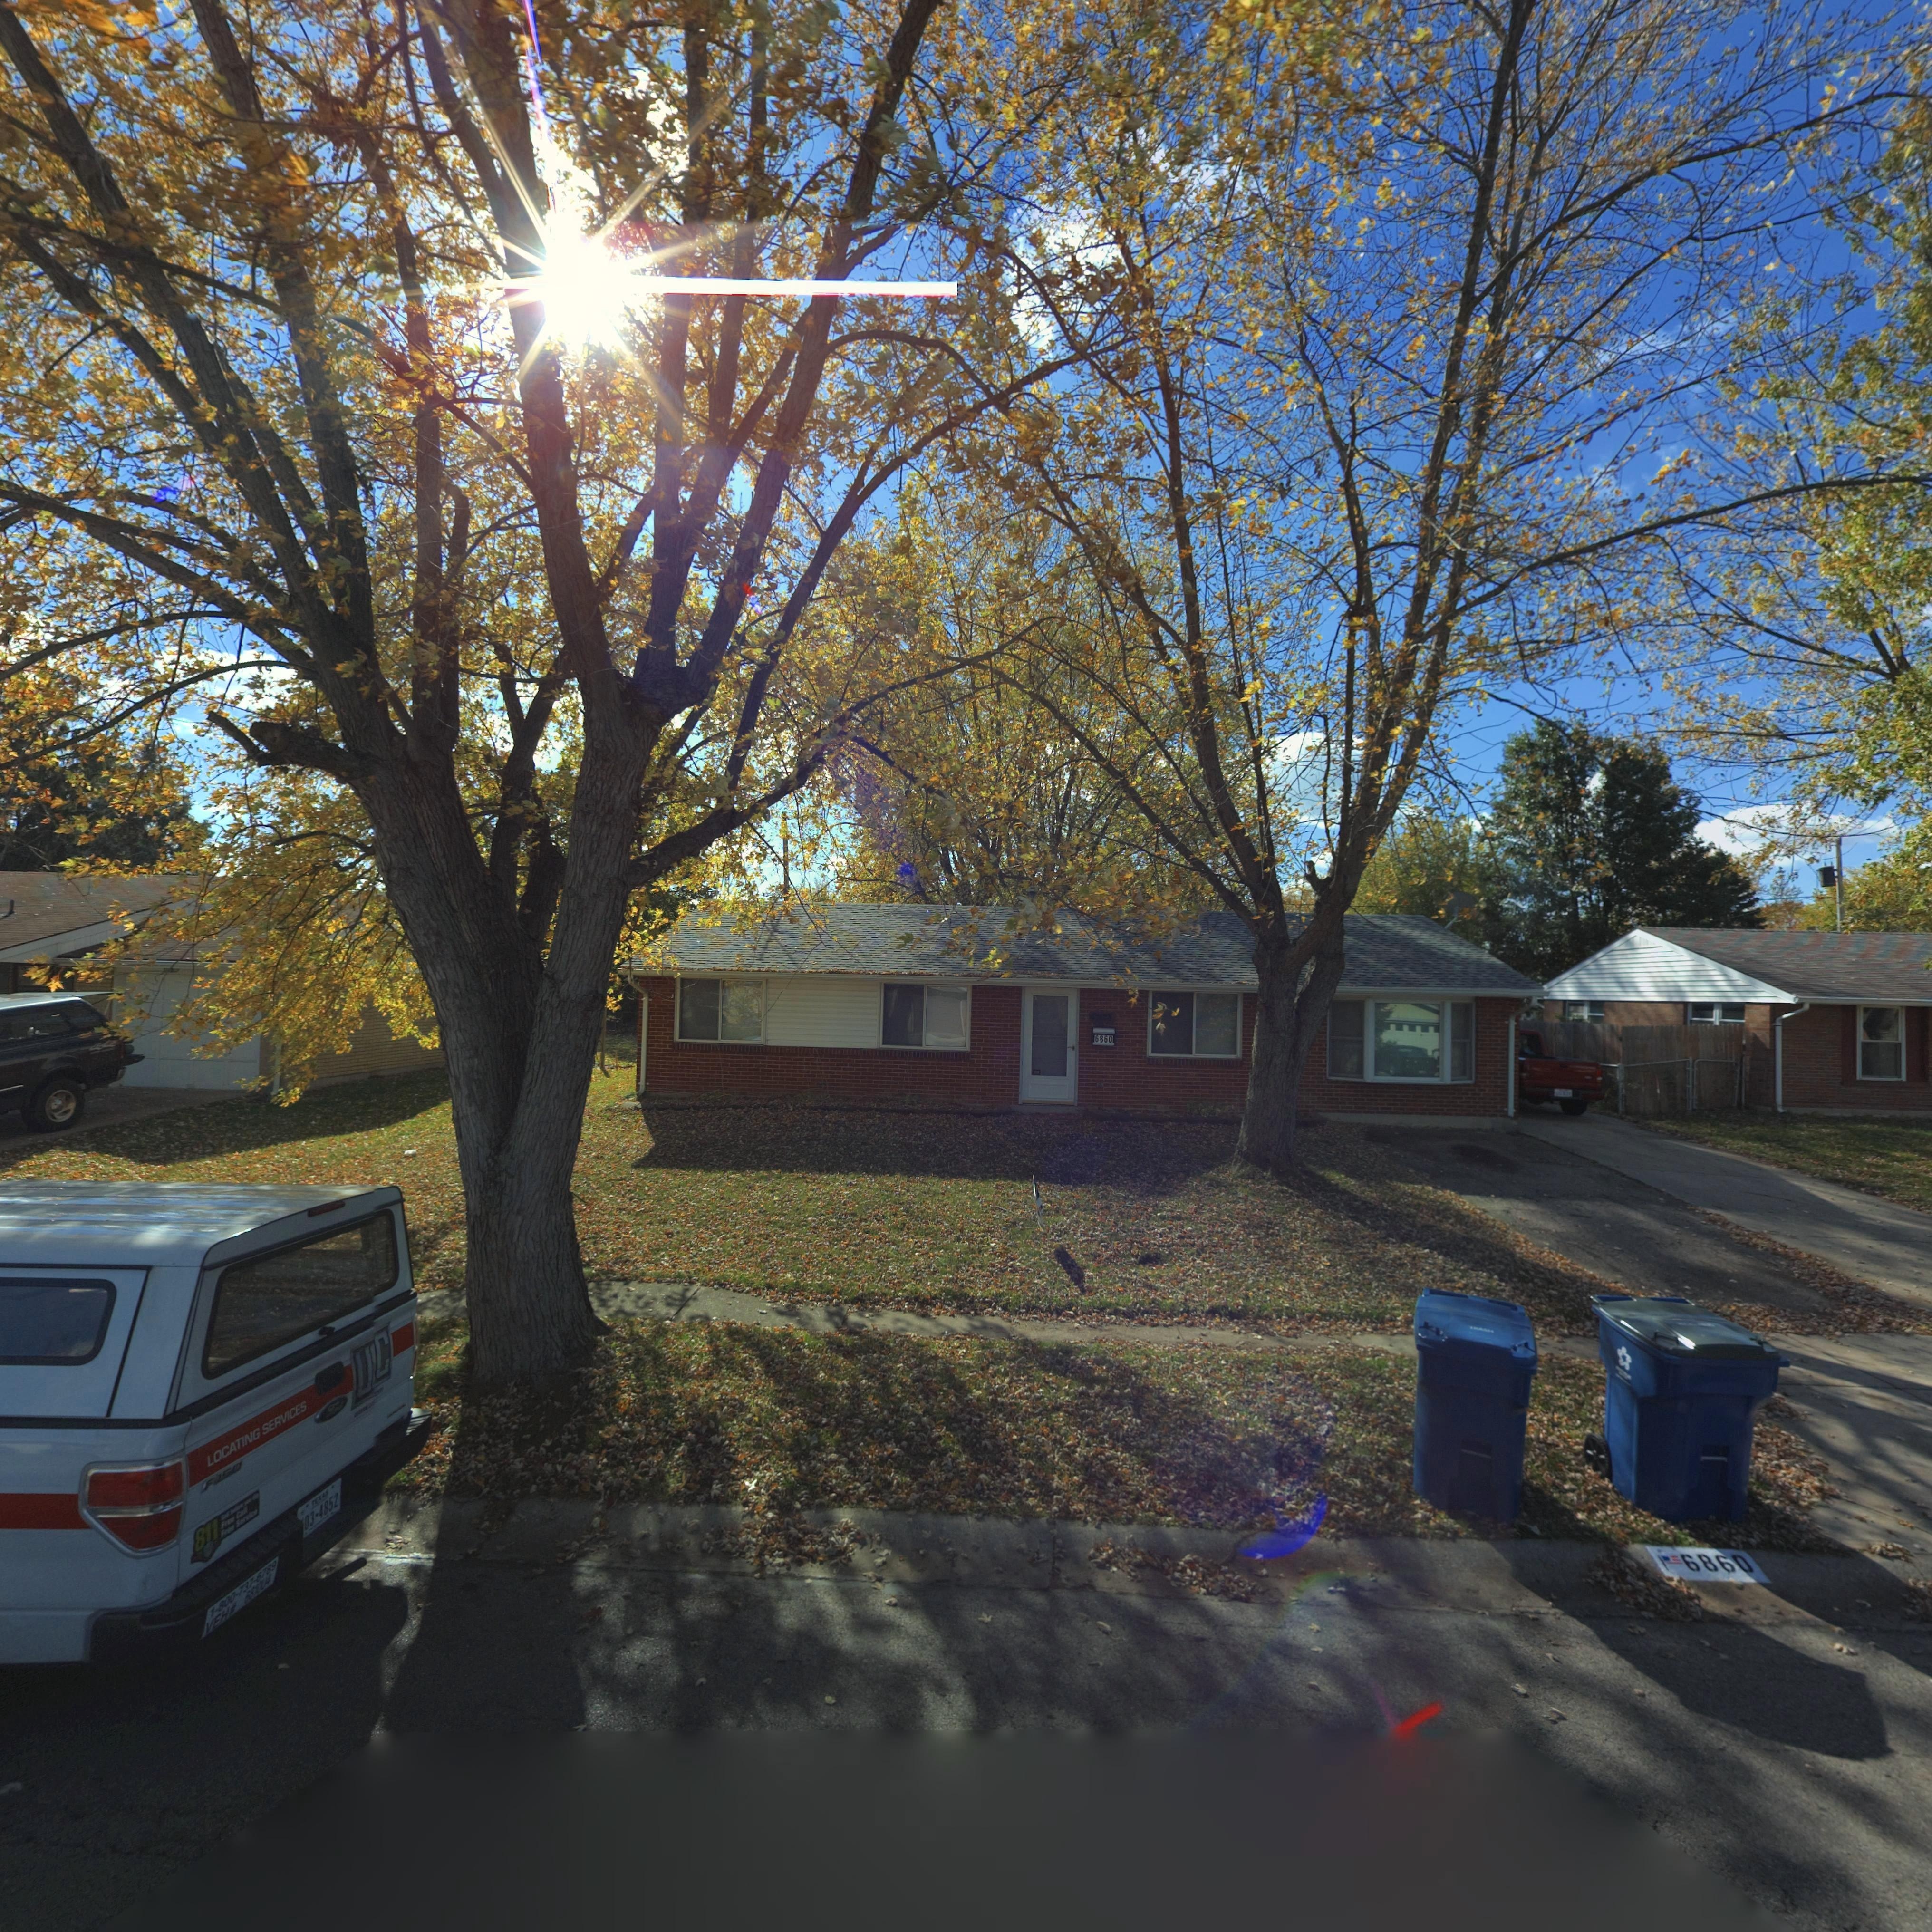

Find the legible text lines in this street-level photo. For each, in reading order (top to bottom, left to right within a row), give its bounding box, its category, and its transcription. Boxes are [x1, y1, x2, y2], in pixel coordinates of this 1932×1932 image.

[1094, 1034, 1113, 1044] StreetNumber: 6860
[1678, 1552, 1756, 1575] StreetNumber: 6860